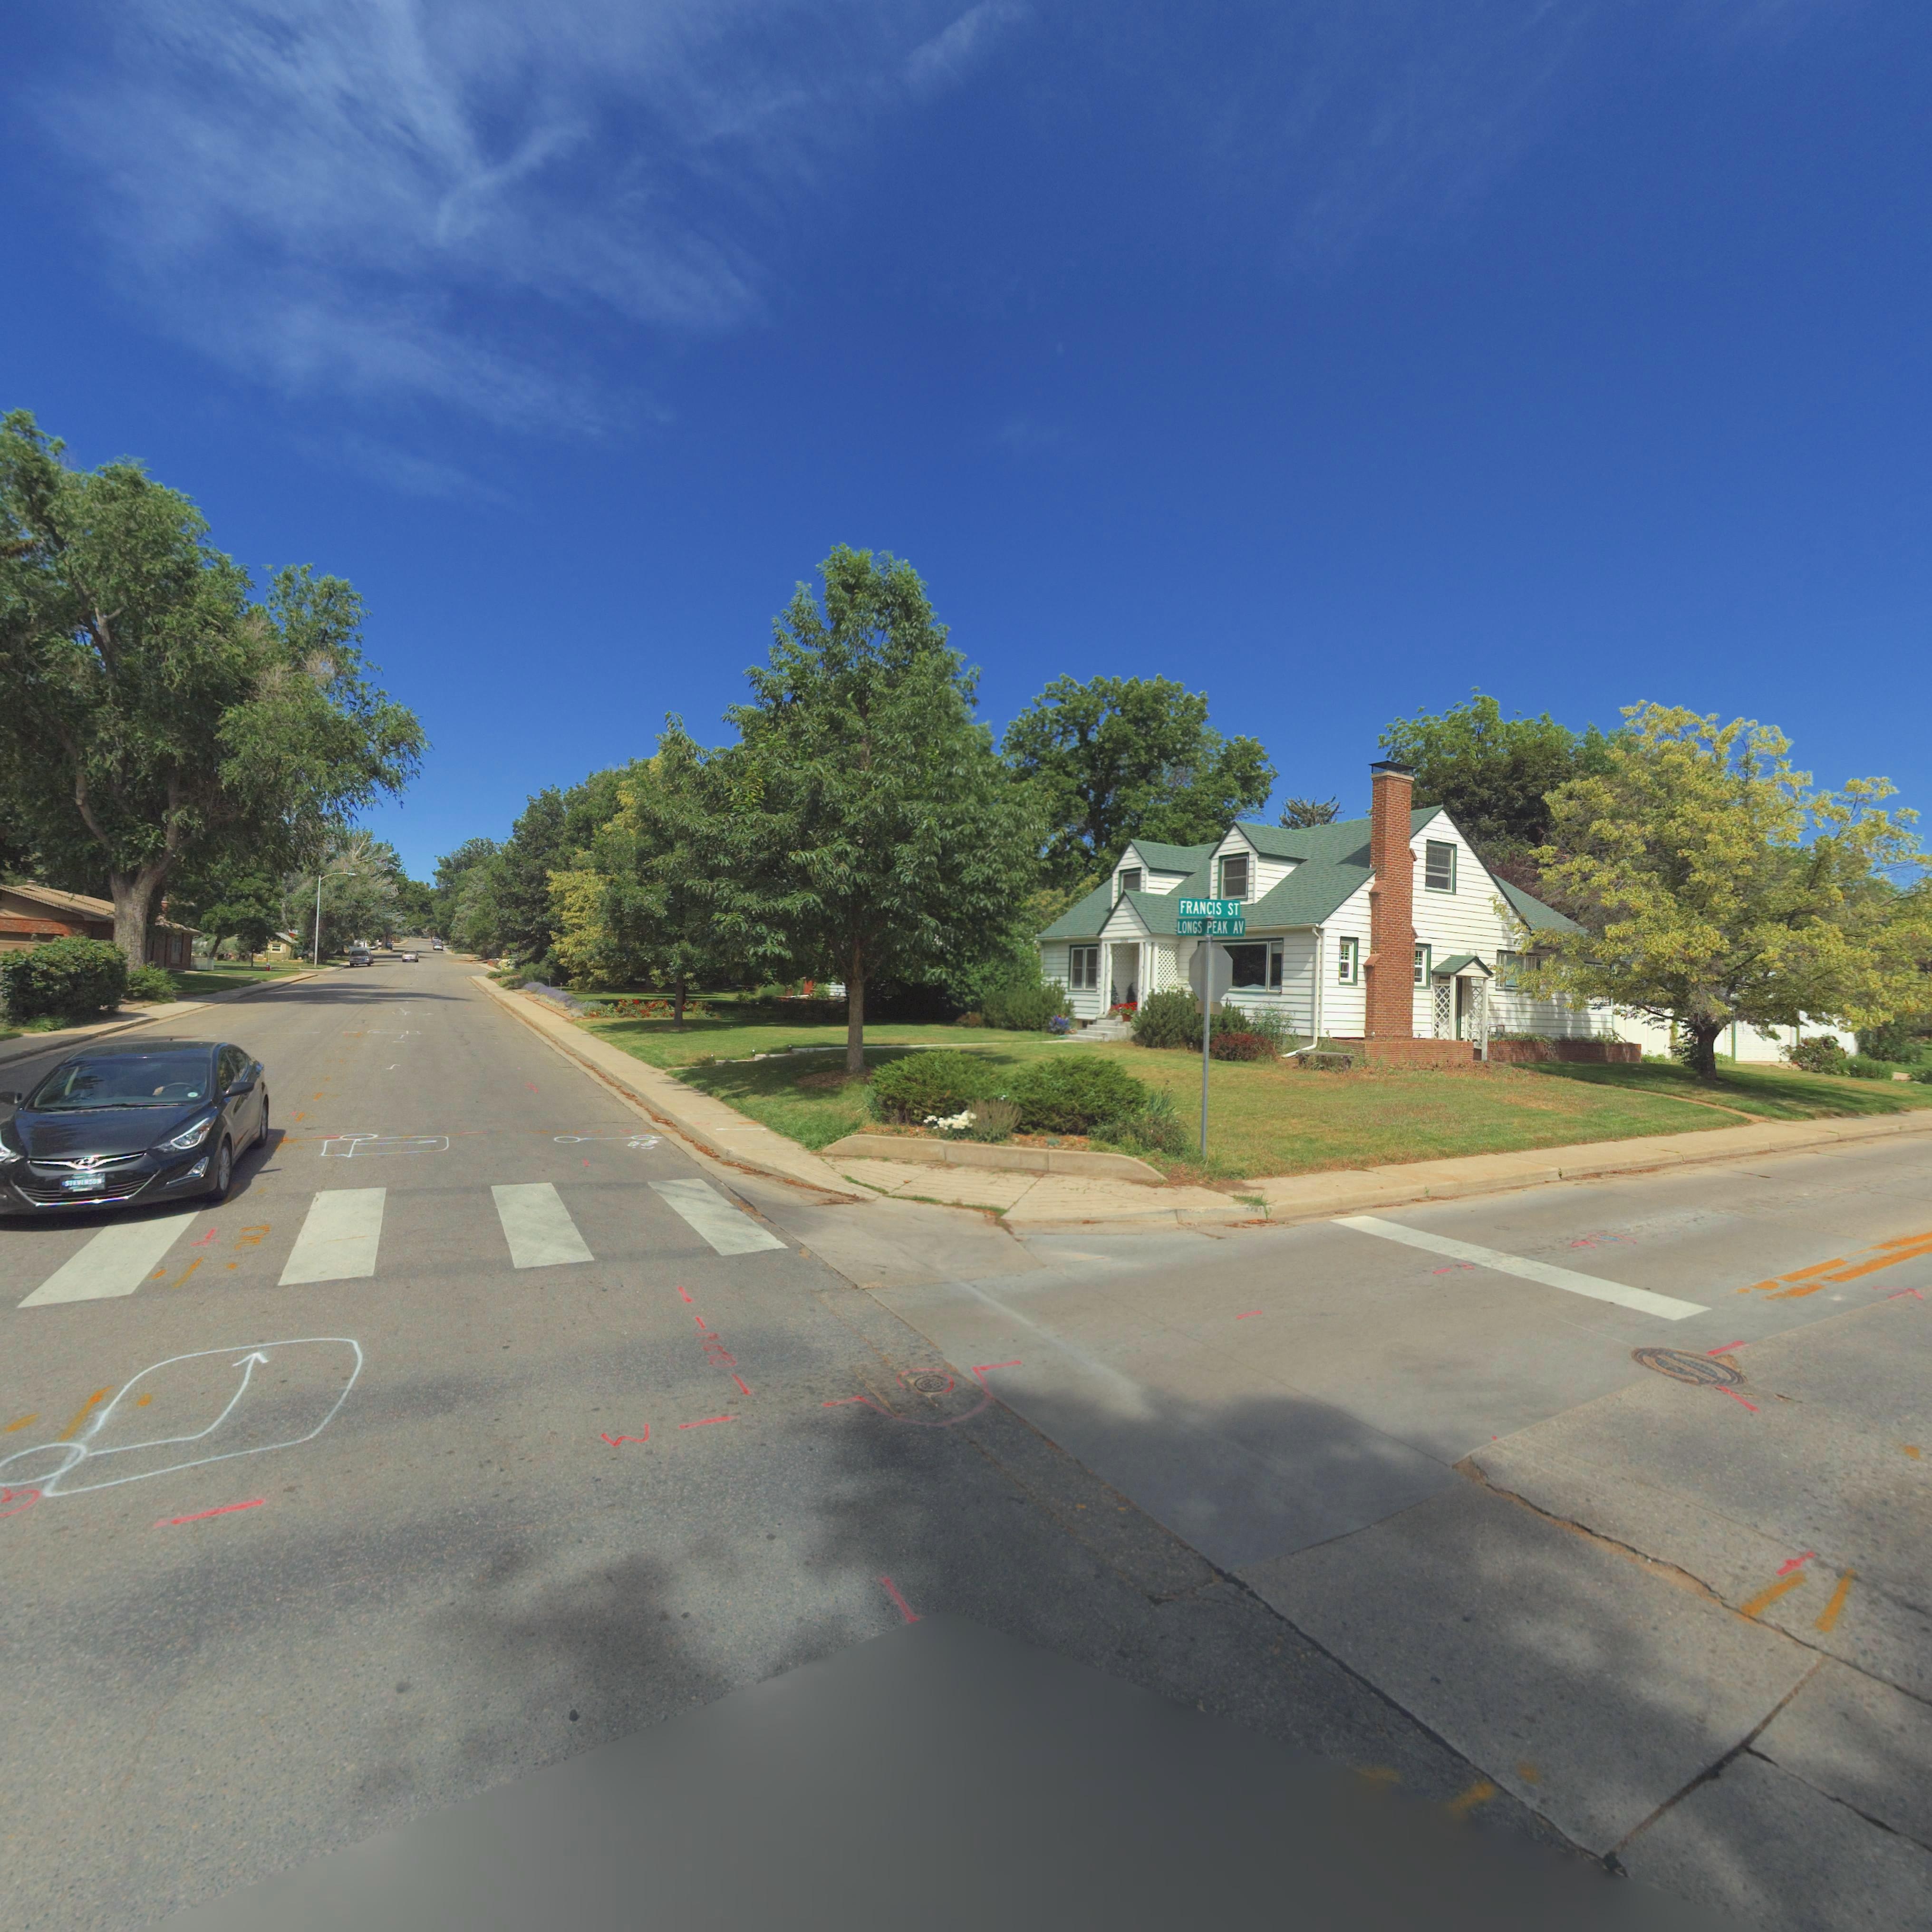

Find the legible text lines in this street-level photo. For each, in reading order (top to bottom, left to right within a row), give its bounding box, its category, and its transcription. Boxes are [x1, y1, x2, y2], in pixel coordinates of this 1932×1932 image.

[1180, 900, 1239, 915] StreetName: FRANCIS ST
[1177, 920, 1244, 934] StreetName: LONGS PEAK AV
[1119, 937, 1129, 943] None: 1**6